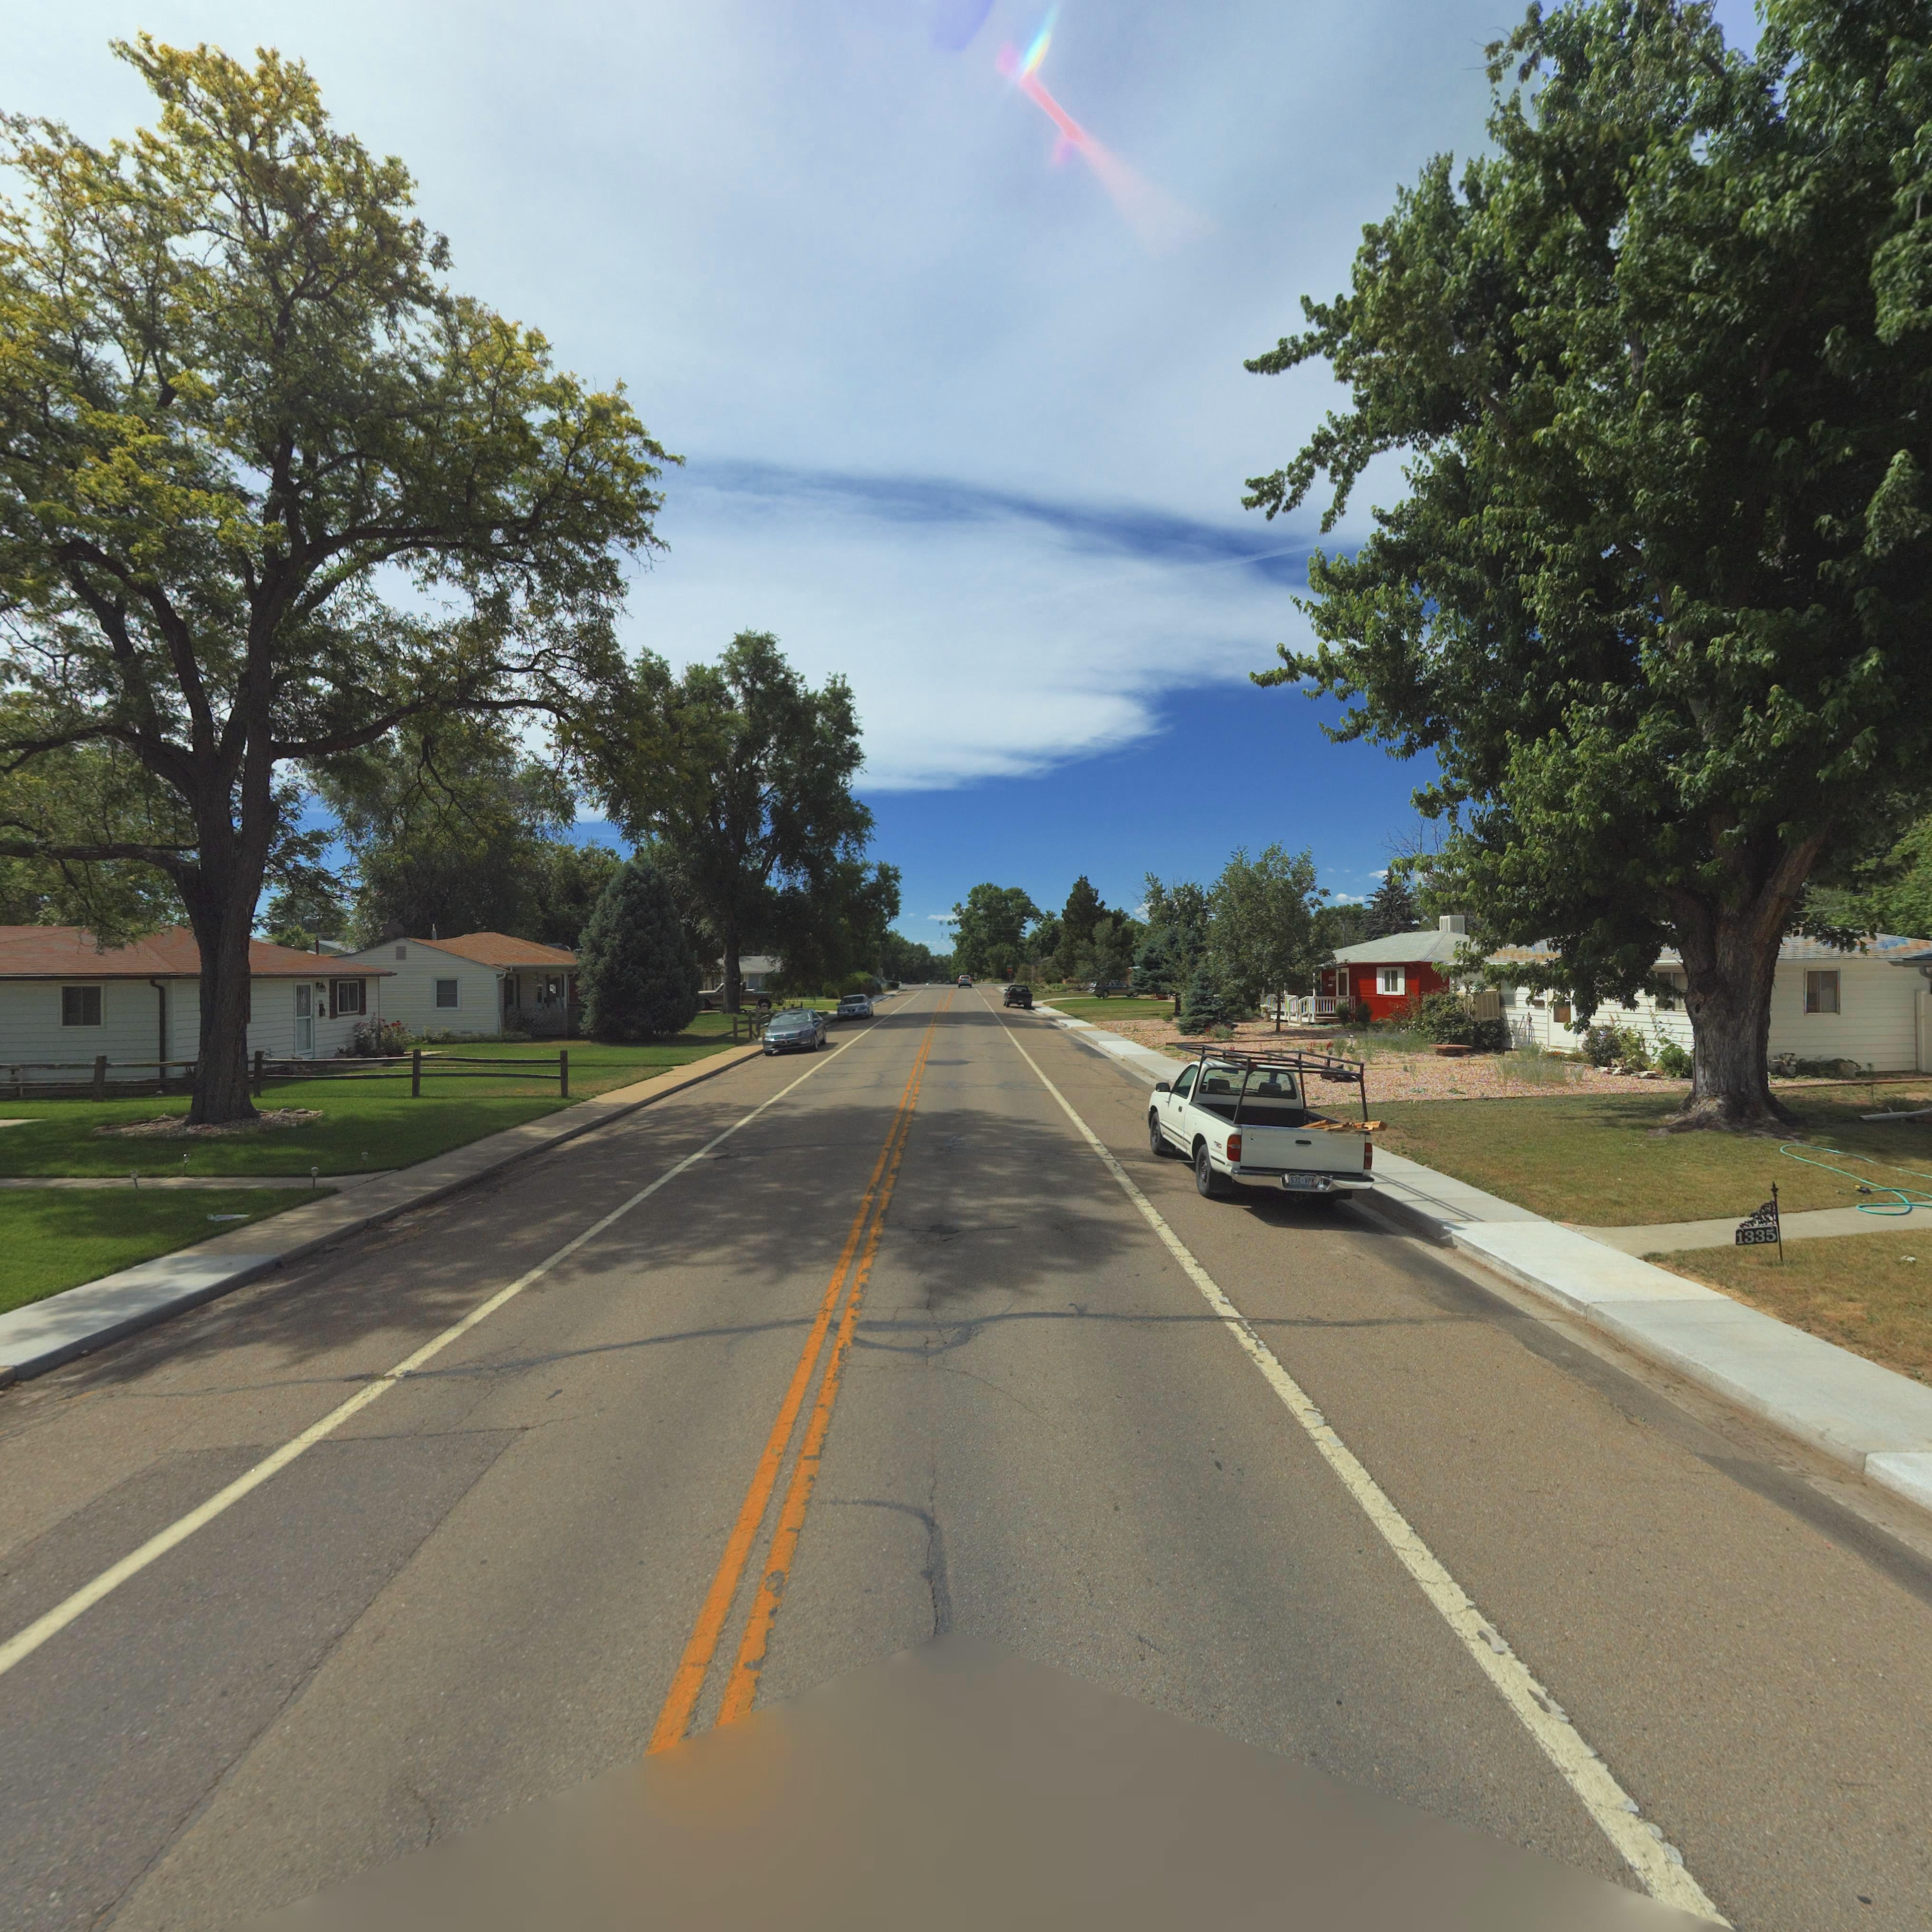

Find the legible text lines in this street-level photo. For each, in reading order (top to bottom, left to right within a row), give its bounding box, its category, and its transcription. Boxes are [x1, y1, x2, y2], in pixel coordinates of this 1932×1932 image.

[1736, 1228, 1777, 1244] StreetNumber: 1335